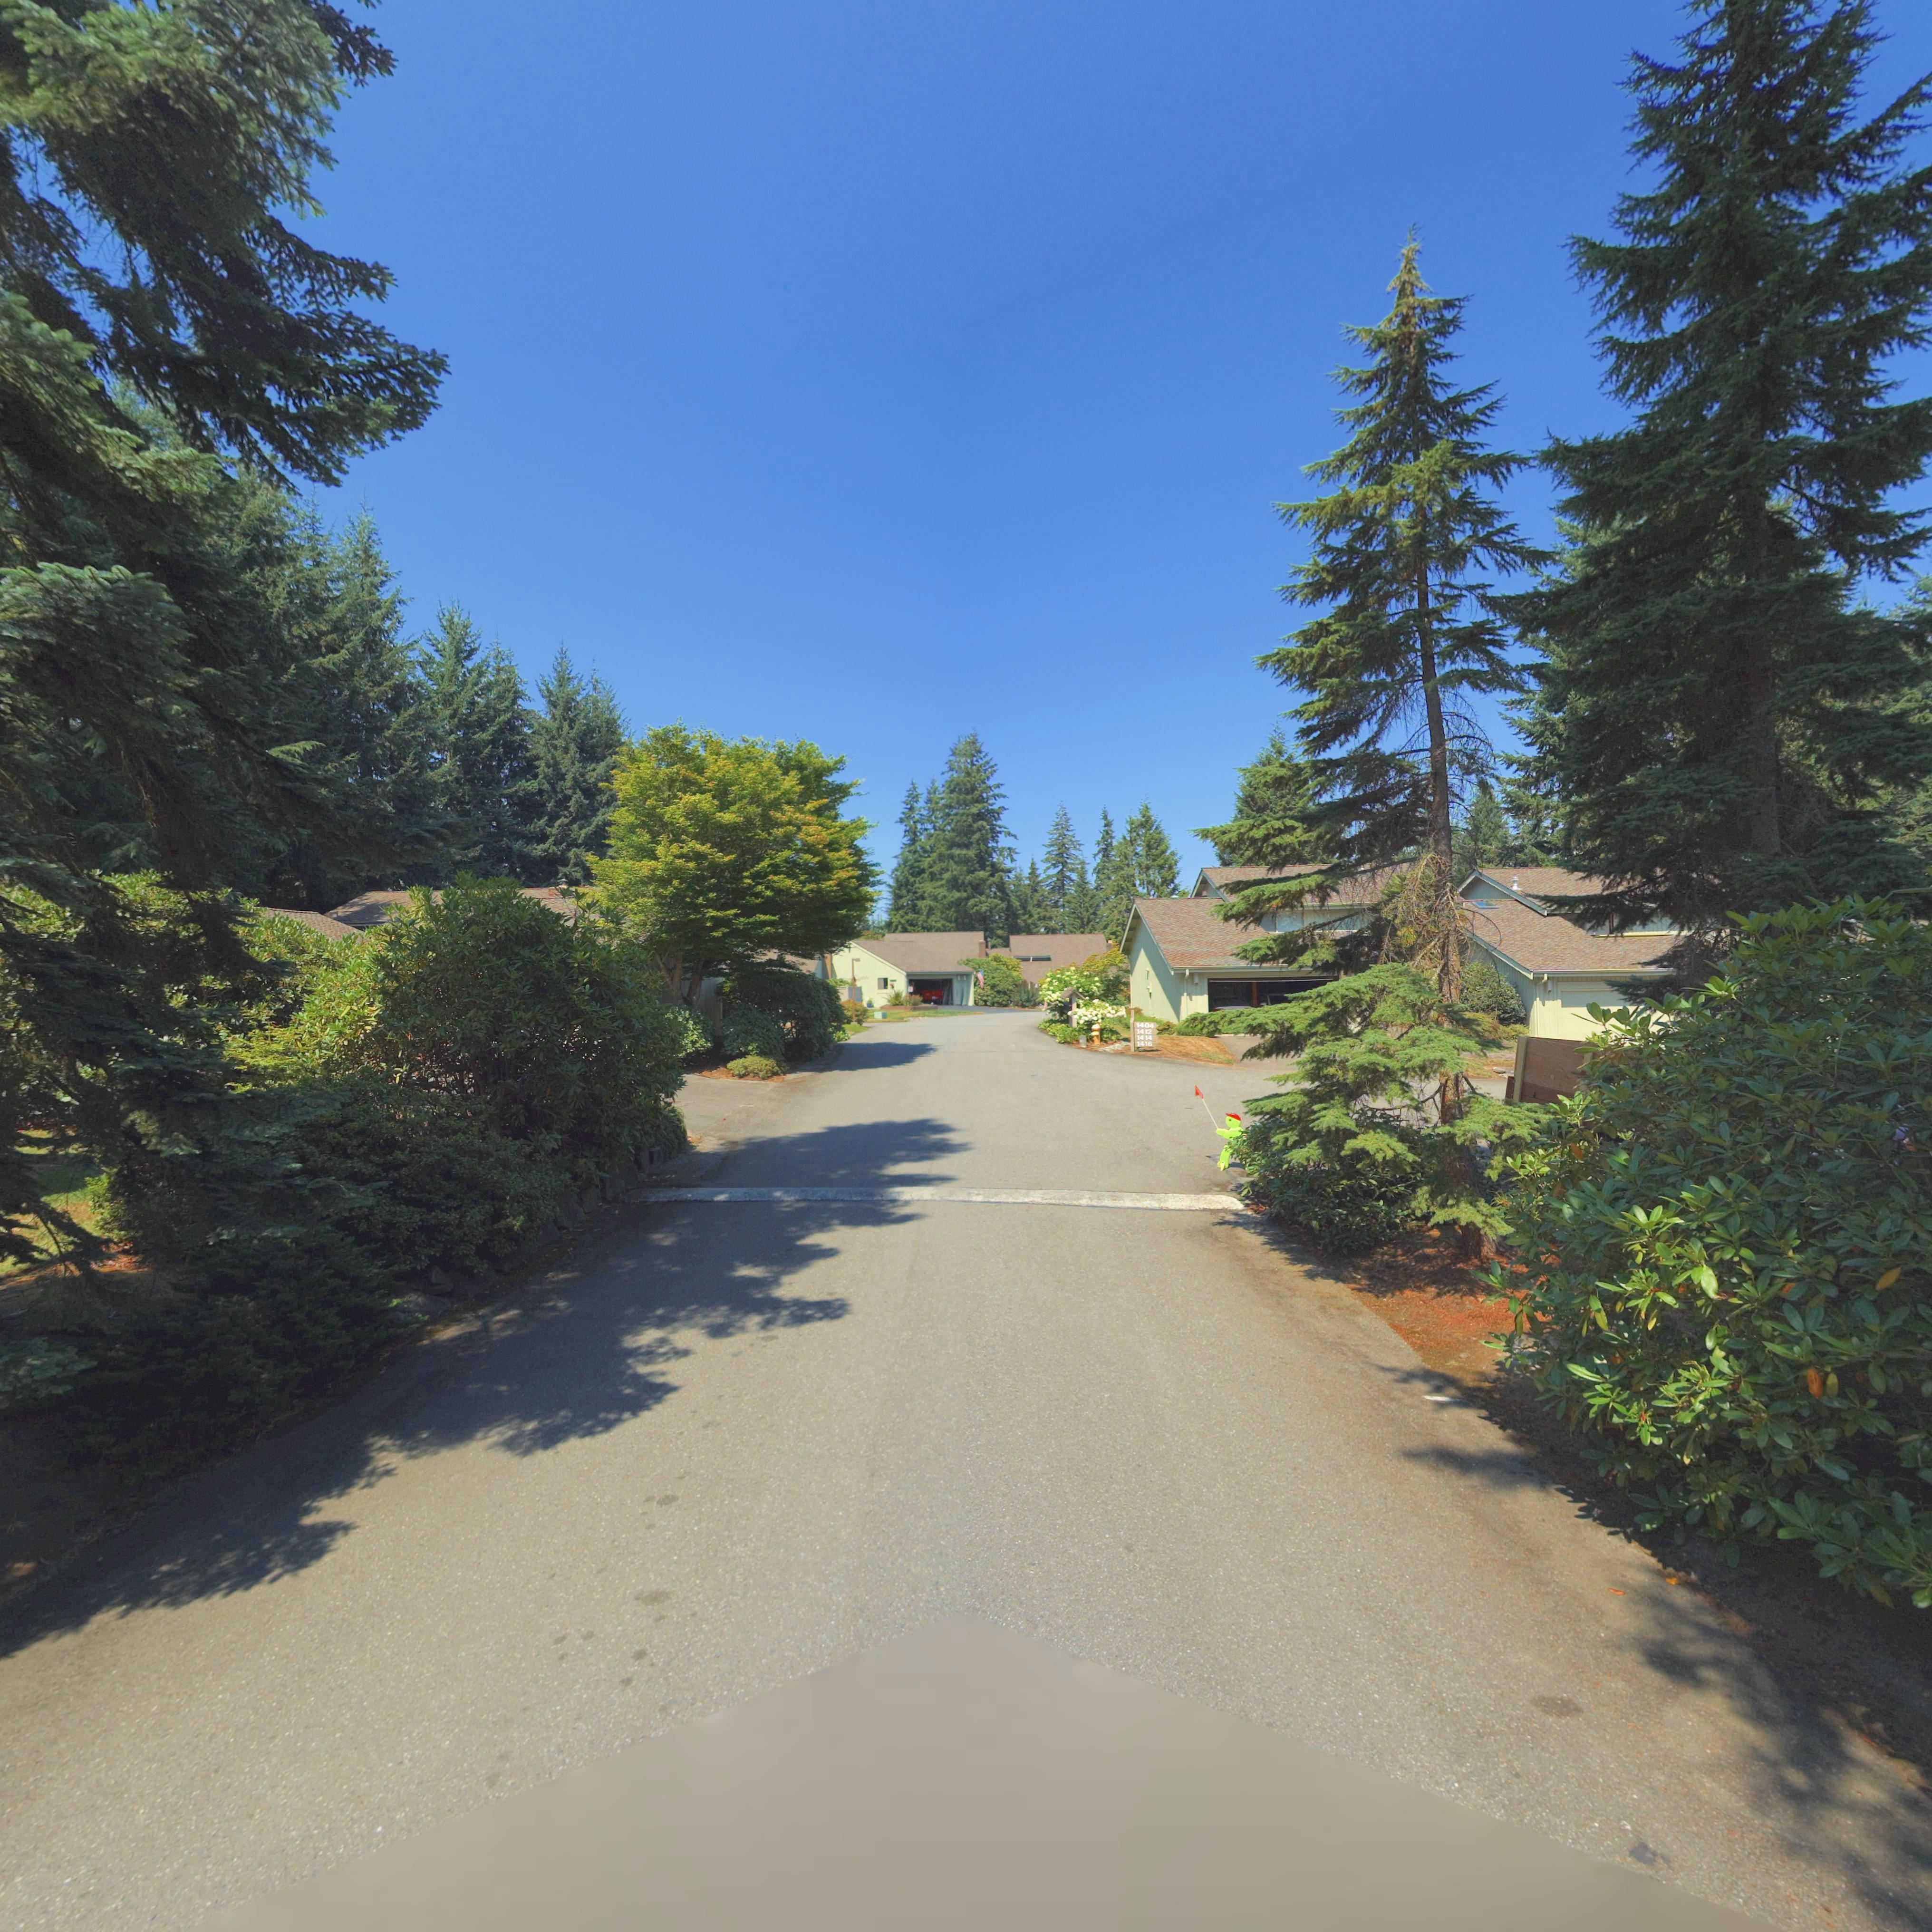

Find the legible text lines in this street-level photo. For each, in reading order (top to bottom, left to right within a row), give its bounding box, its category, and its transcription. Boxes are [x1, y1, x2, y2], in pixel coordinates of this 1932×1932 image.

[1136, 1023, 1154, 1028] StreetNumber: 1404
[1136, 1028, 1152, 1034] StreetNumber: 1412
[1137, 1034, 1152, 1041] StreetNumber: 1414
[1136, 1041, 1152, 1046] StreetNumber: 1416